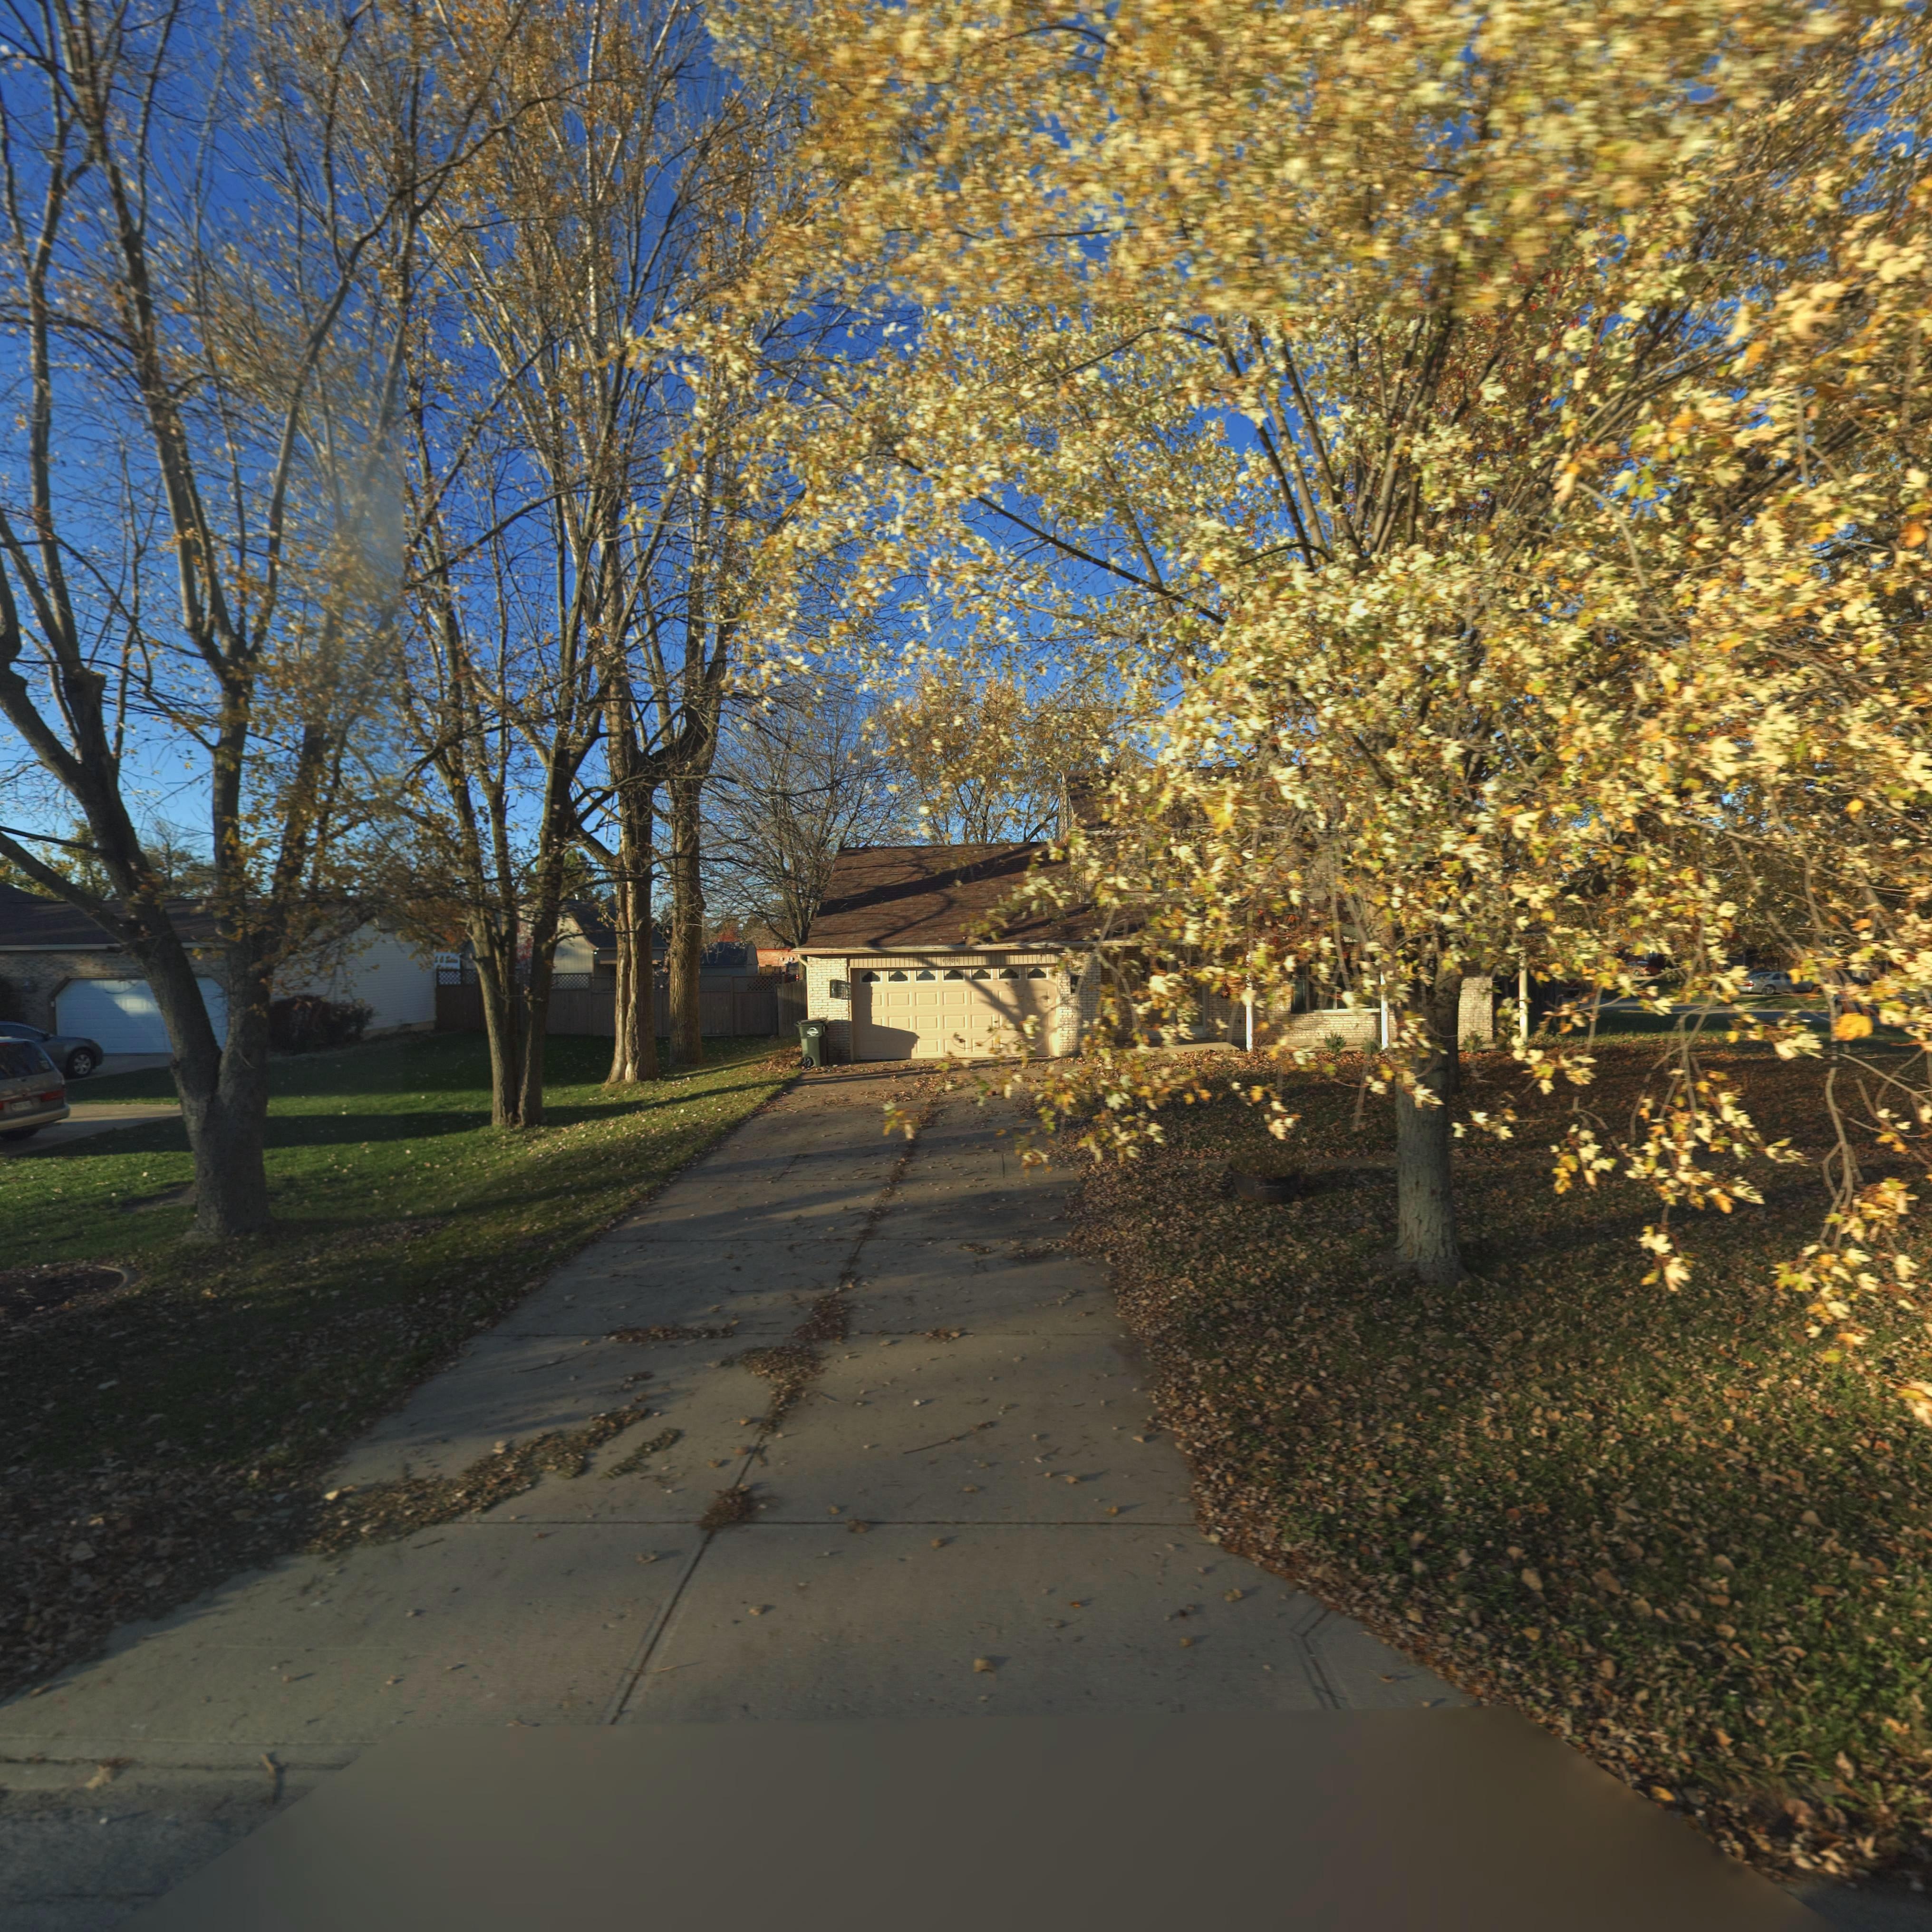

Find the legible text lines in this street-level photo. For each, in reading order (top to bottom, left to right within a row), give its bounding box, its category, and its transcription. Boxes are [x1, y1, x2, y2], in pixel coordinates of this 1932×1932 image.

[942, 956, 959, 963] StreetNumber: 4961